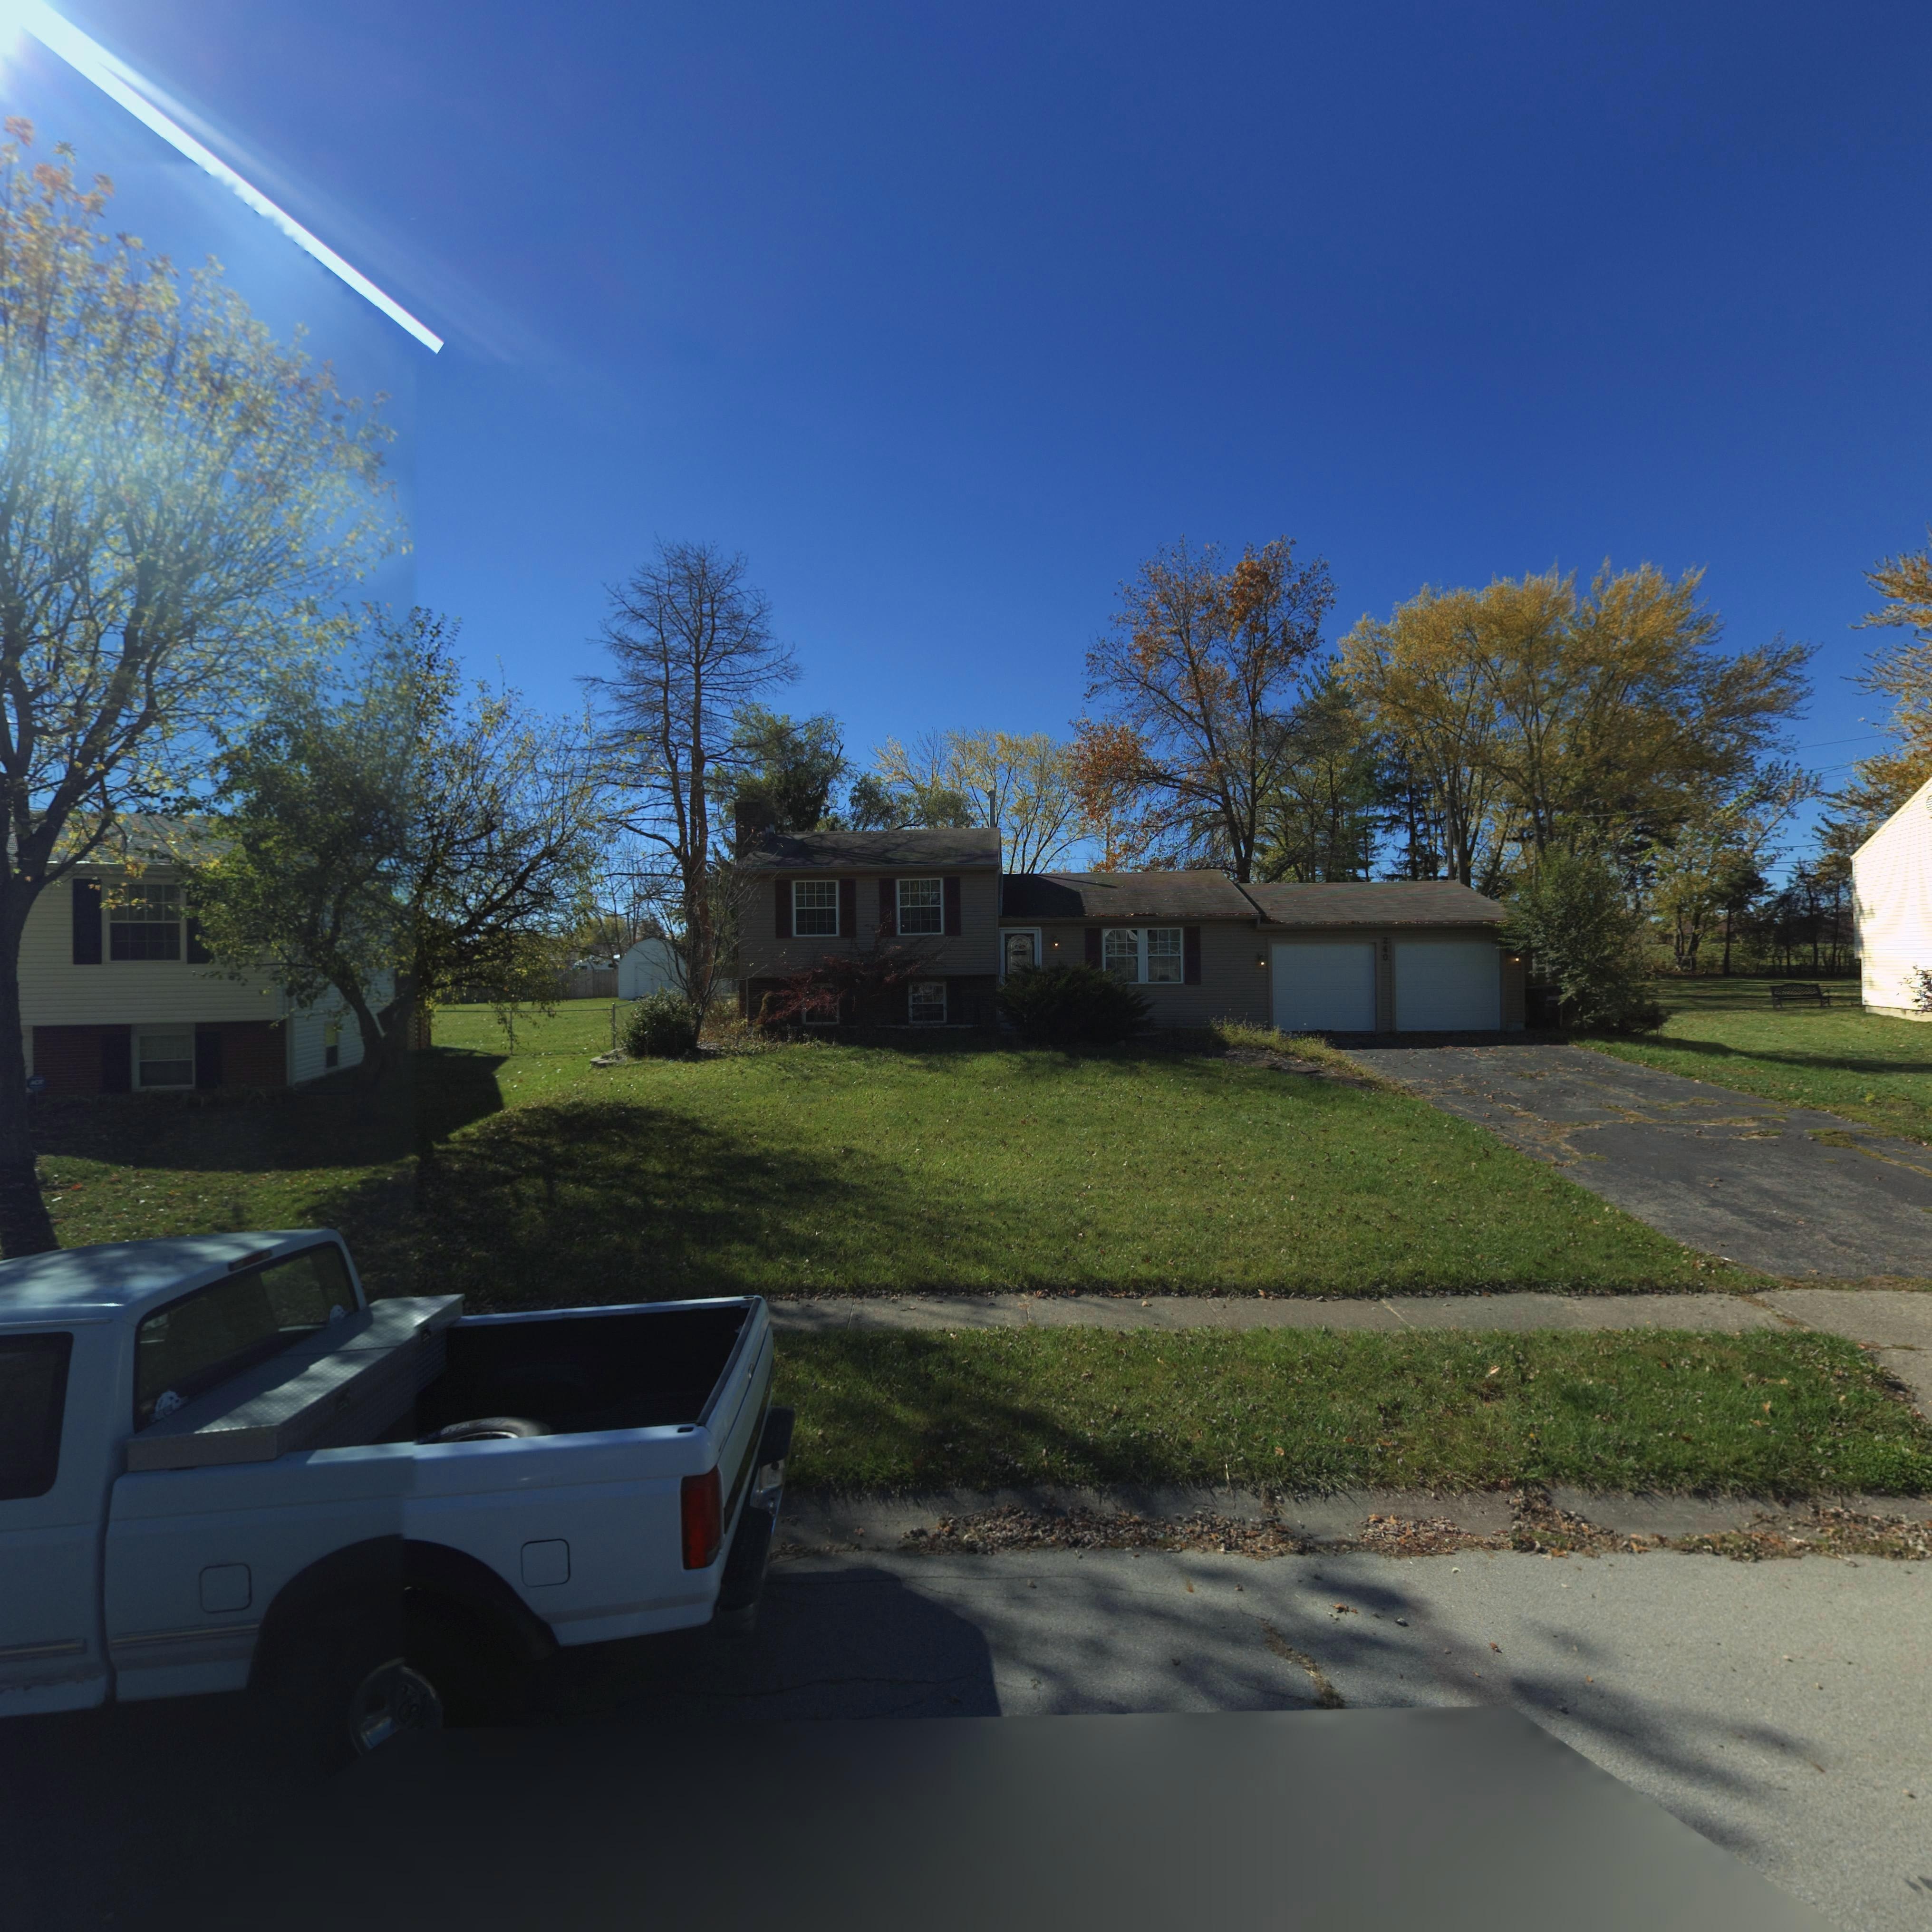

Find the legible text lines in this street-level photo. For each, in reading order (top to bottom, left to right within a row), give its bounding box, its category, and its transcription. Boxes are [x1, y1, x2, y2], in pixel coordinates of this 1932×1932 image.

[1382, 937, 1389, 961] StreetNumber: 240